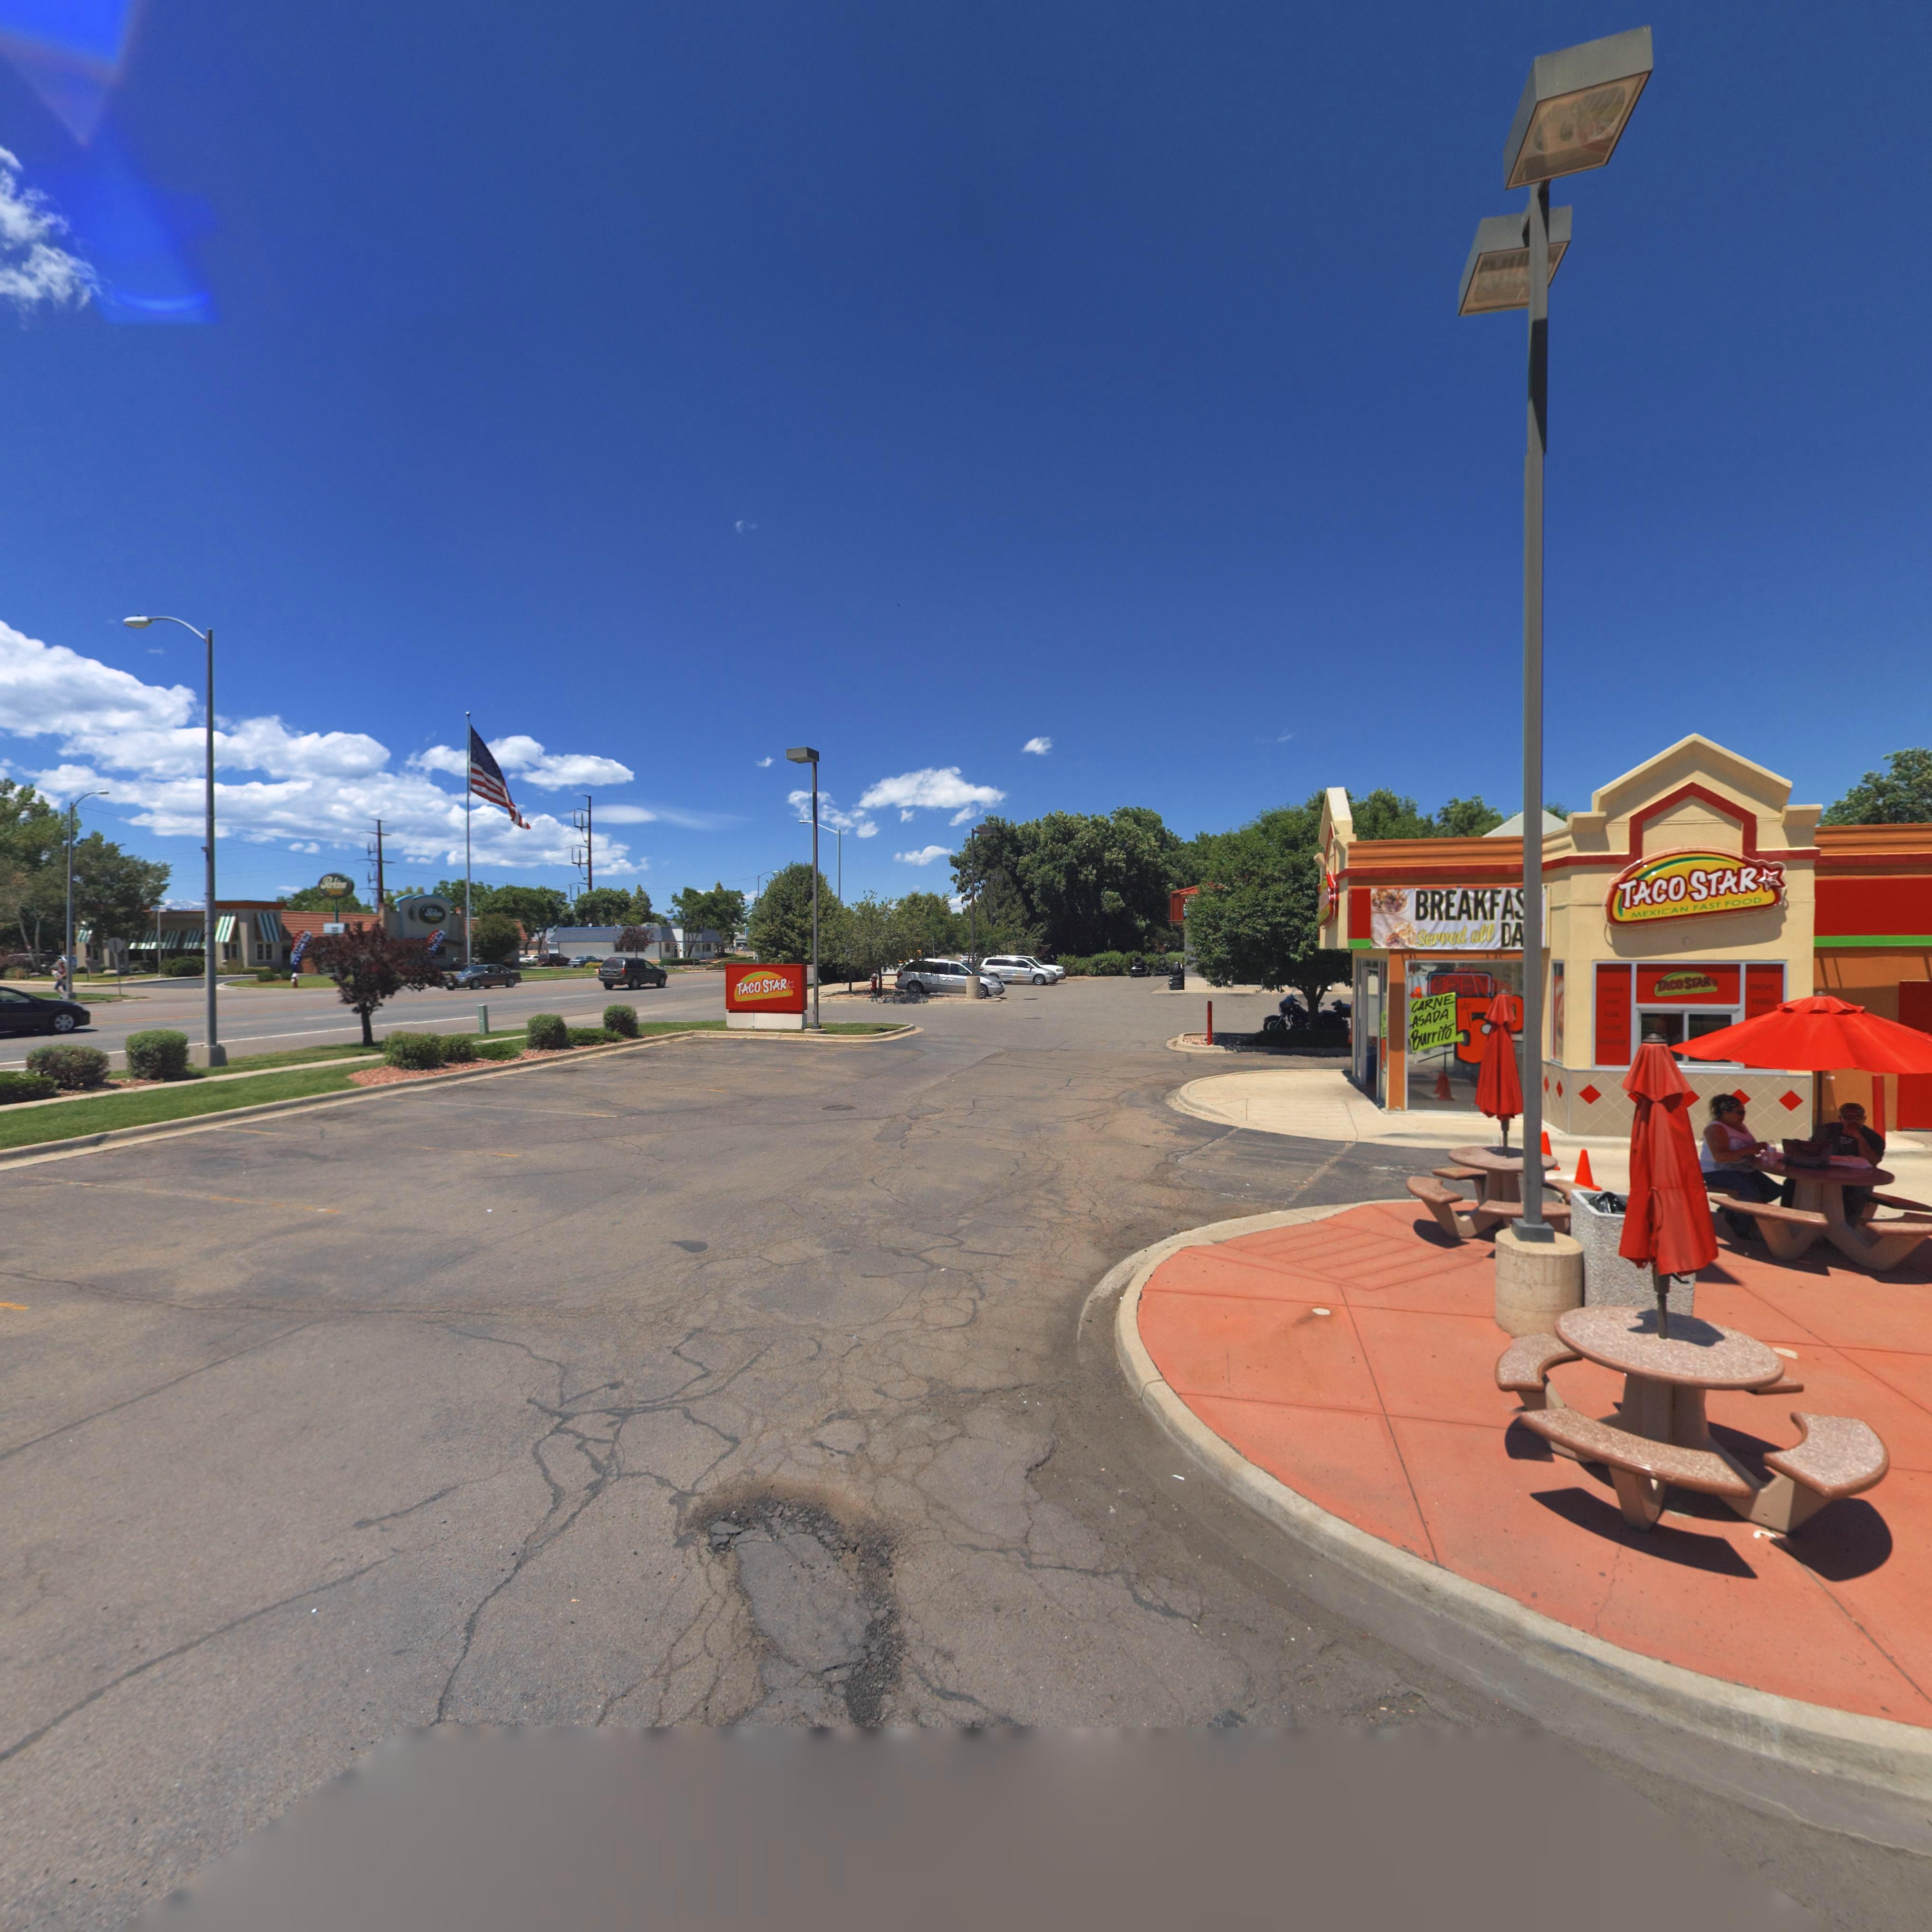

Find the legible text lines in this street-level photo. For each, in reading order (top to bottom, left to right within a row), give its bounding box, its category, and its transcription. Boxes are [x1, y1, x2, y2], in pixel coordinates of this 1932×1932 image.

[319, 875, 348, 890] BusinessName: Perkins
[1617, 866, 1760, 908] BusinessName: TACO STAR
[424, 907, 443, 917] BusinessName: PerK***
[735, 977, 787, 996] BusinessName: TACO STARA
[1654, 975, 1712, 993] BusinessName: TACO STAR